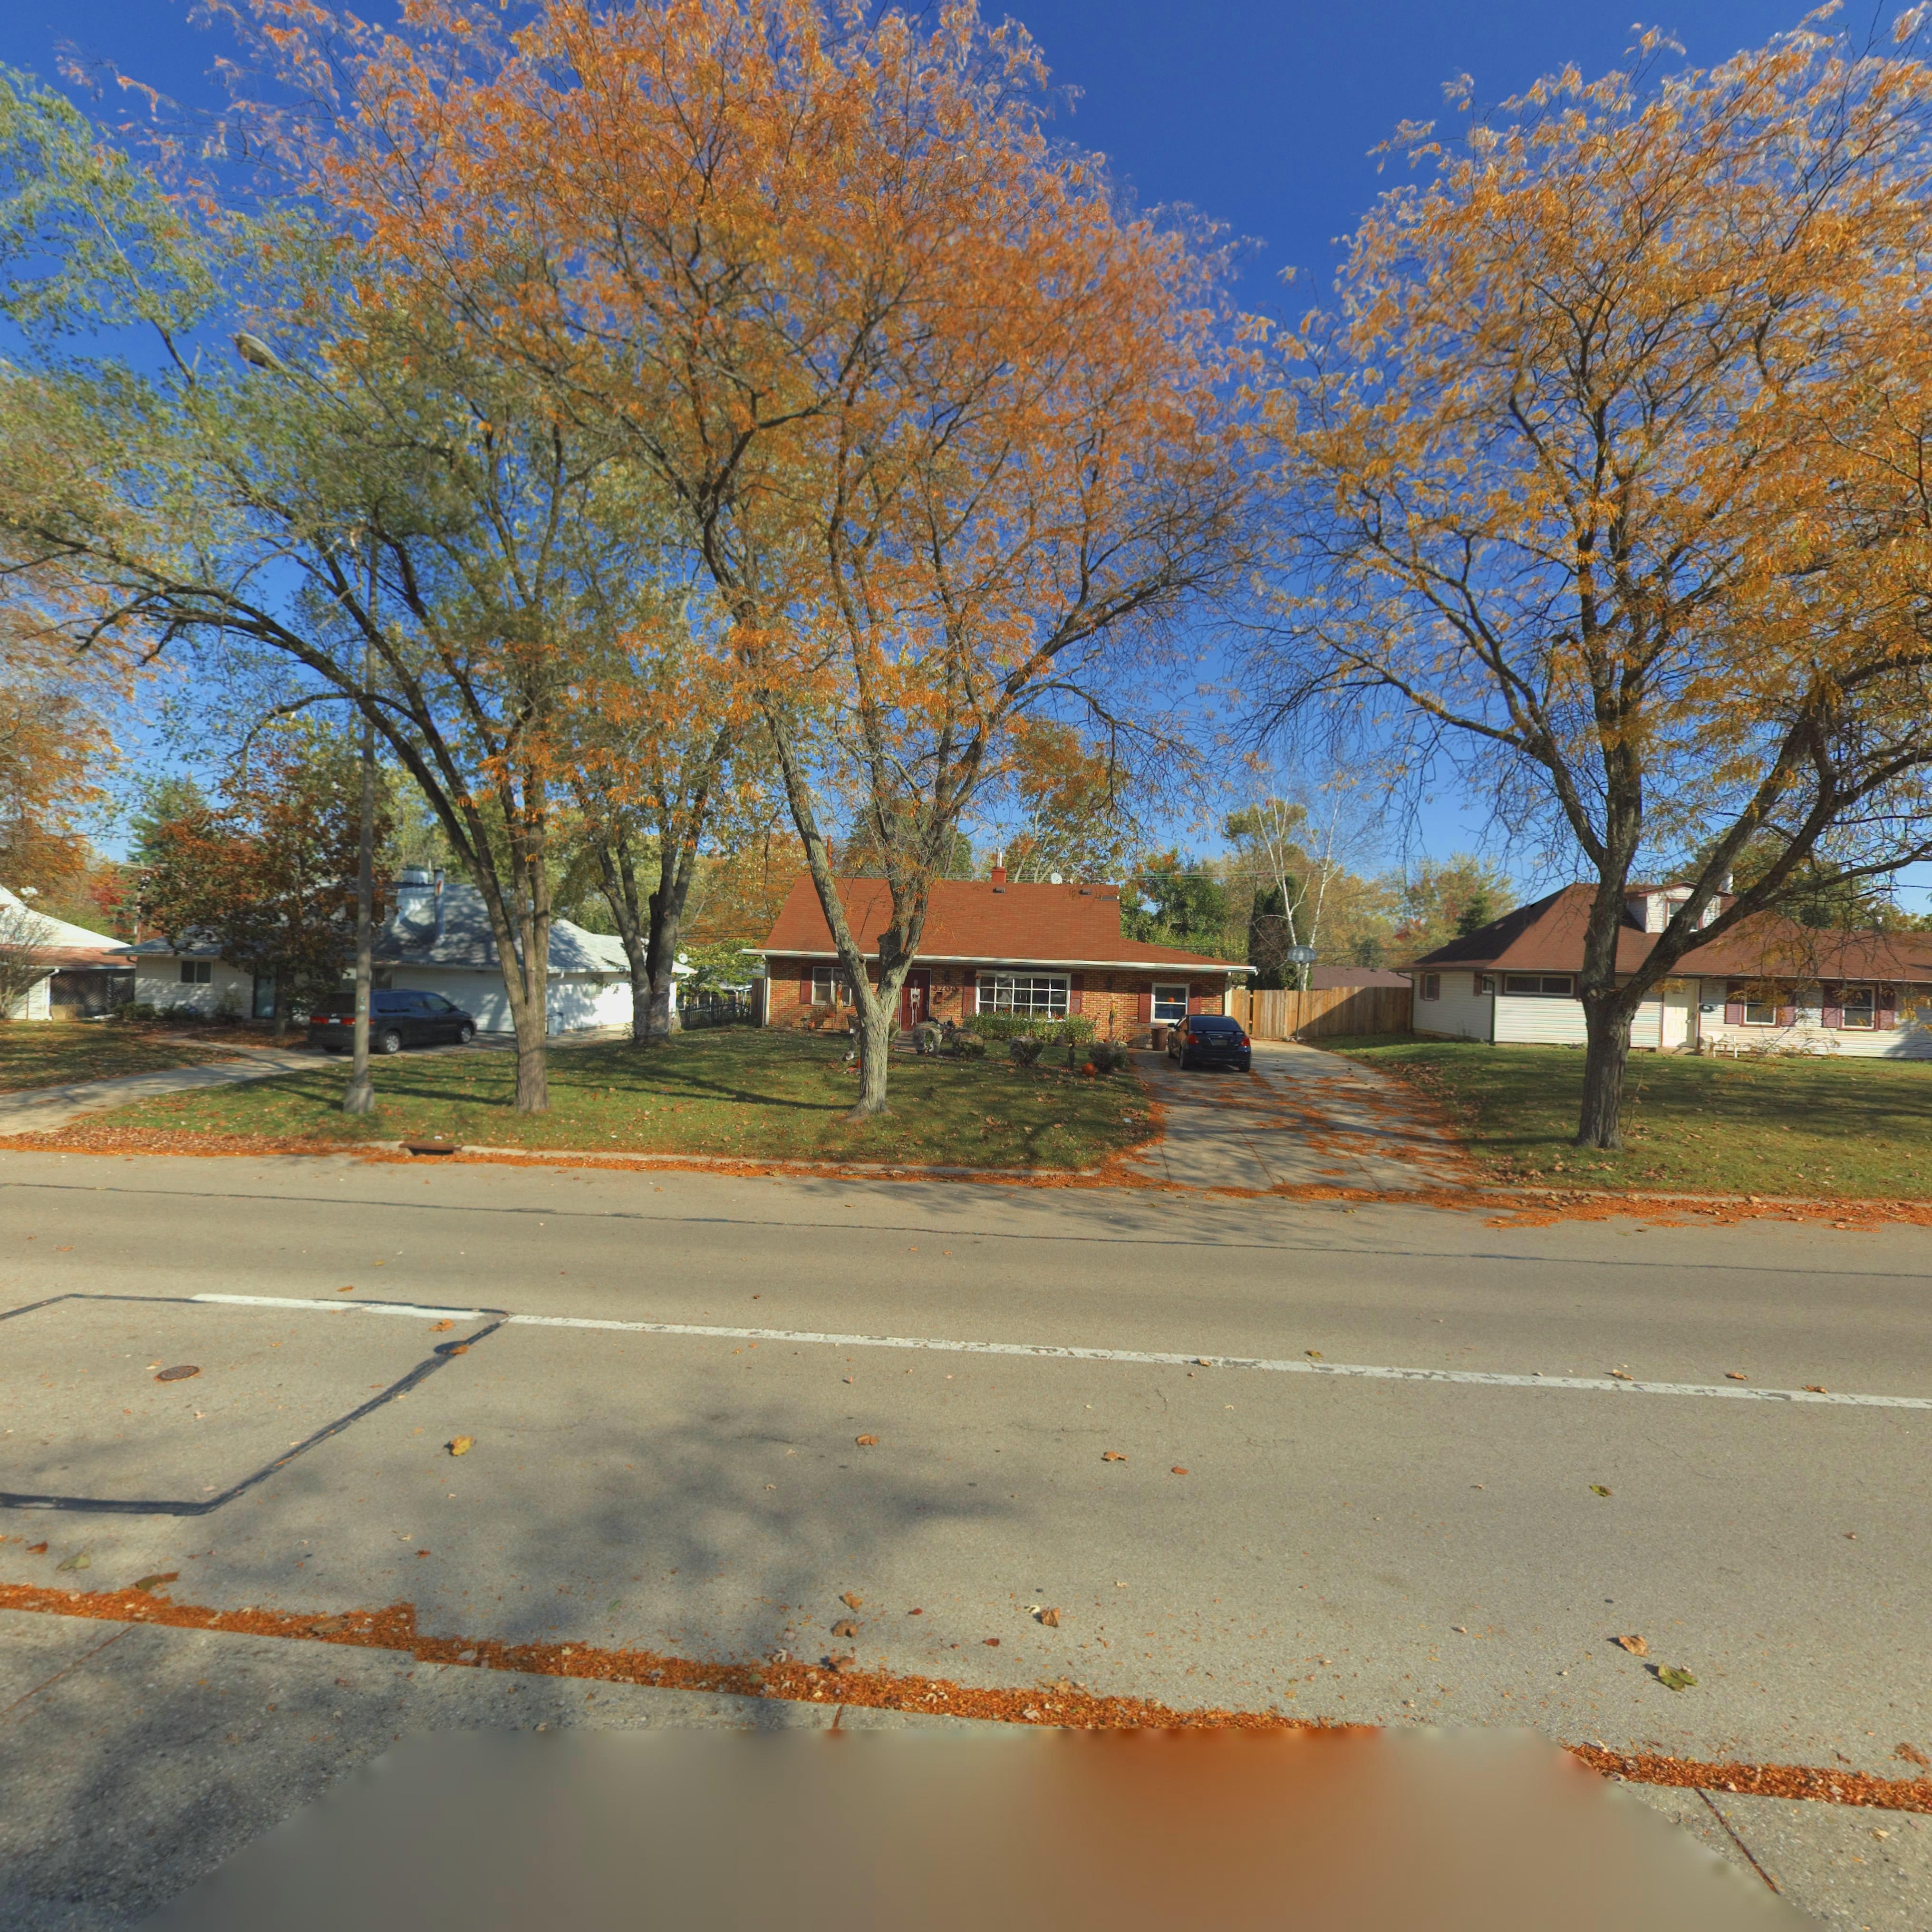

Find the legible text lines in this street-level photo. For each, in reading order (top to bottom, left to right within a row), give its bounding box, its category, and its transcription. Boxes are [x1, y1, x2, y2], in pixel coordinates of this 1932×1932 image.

[932, 985, 959, 992] StreetNumber: 3700
[361, 997, 365, 1002] None: C
[359, 1005, 366, 1011] None: 59